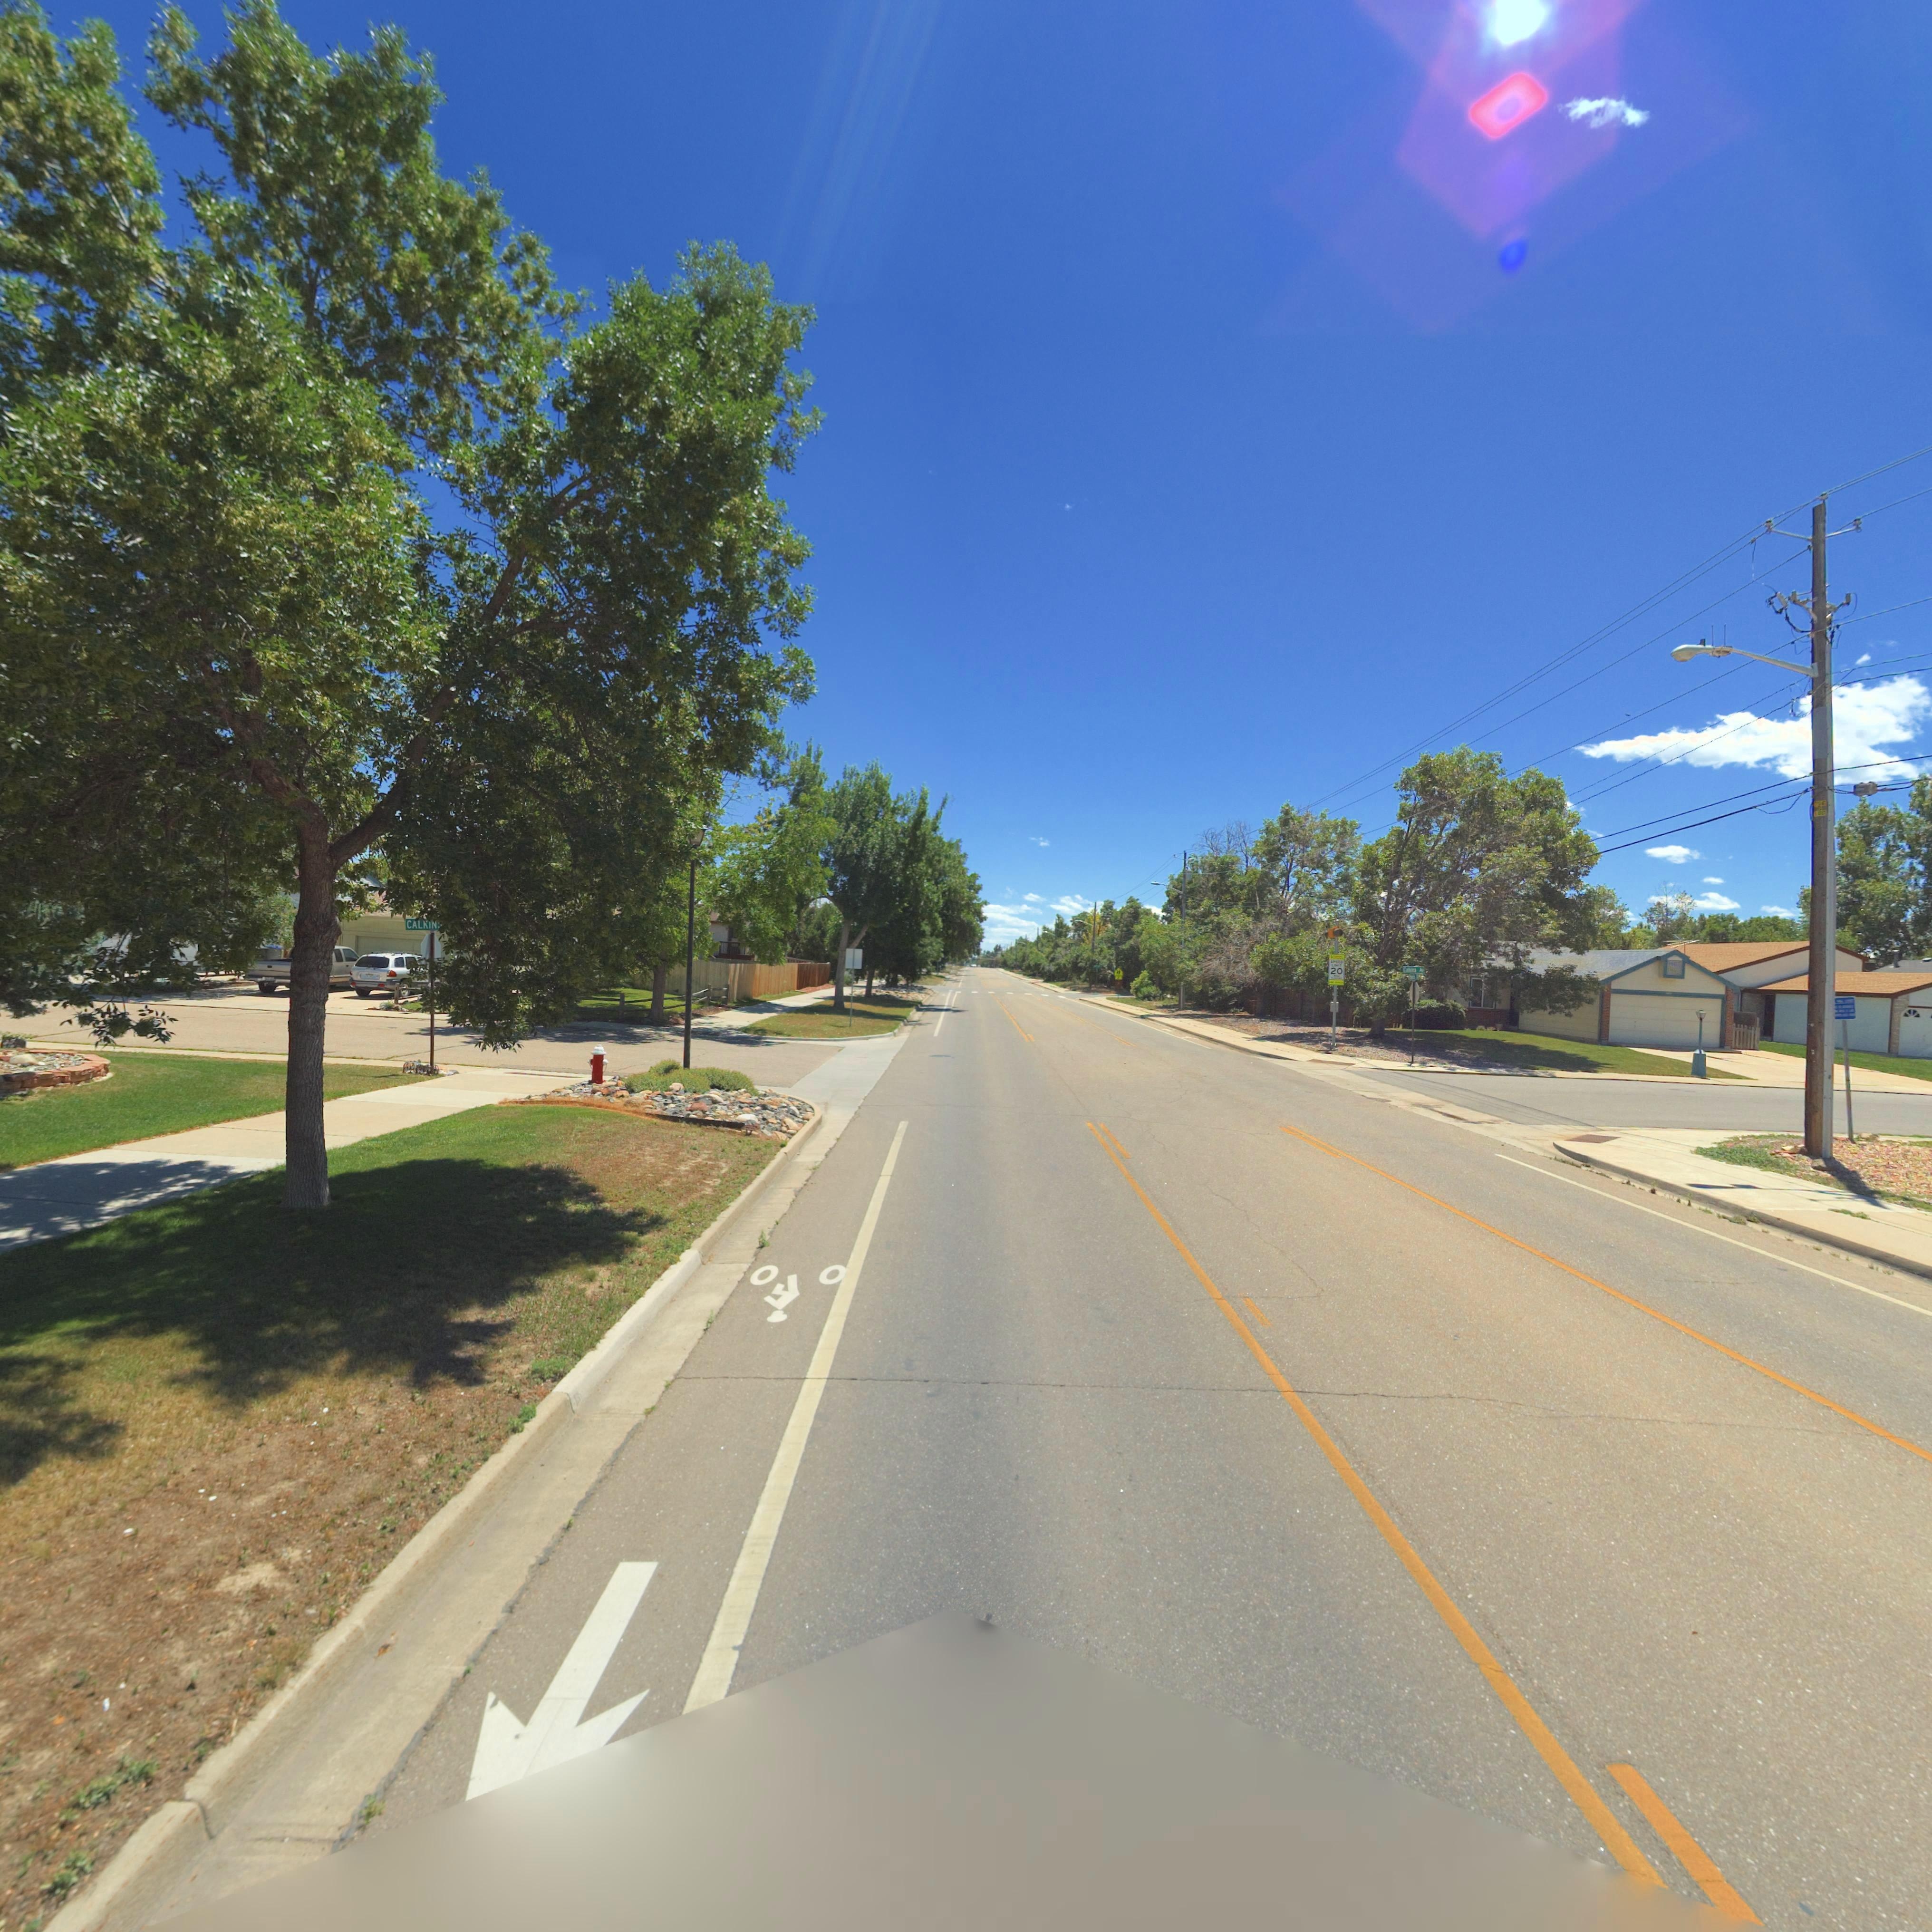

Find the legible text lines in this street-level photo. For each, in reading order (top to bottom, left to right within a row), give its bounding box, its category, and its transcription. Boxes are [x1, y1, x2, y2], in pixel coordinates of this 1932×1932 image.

[406, 919, 438, 930] StreetName: CALKIN
[1401, 966, 1426, 973] StreetName: CALKIN AV